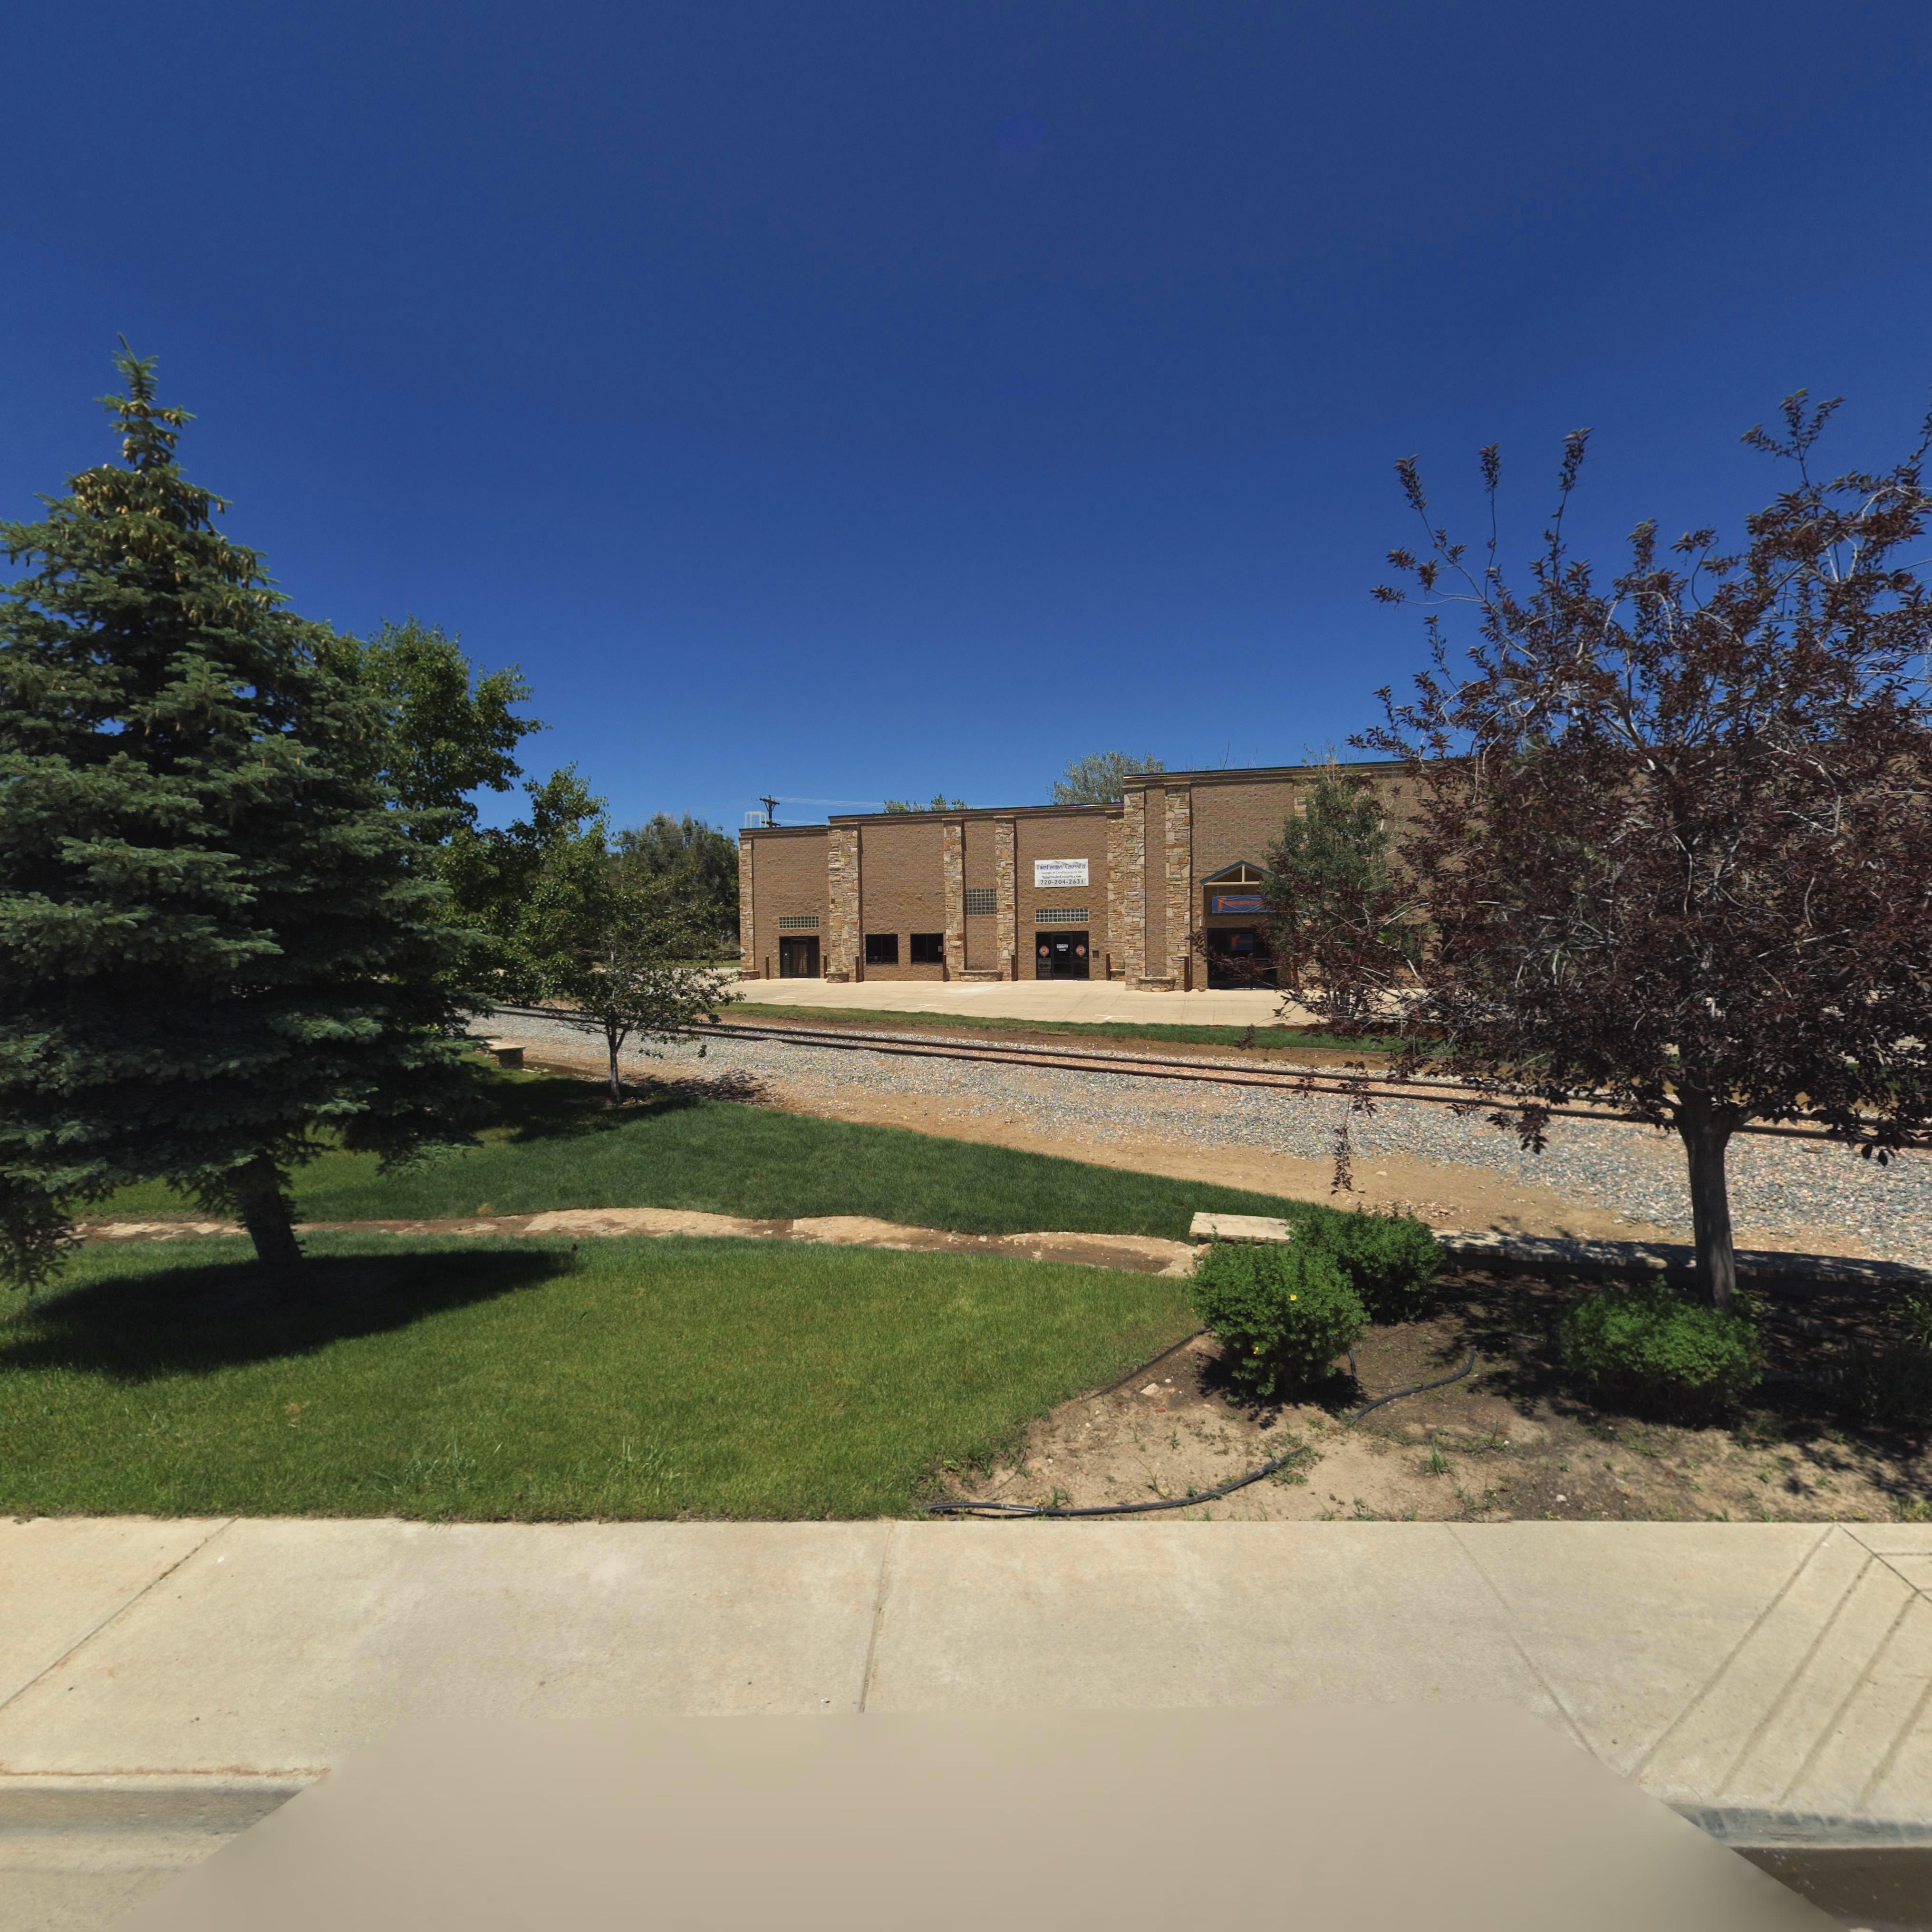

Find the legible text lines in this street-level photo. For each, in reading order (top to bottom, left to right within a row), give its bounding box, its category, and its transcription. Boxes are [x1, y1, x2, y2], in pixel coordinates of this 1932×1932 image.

[1035, 862, 1086, 870] BusinessName: TWINFACTIONS CROSSFIT